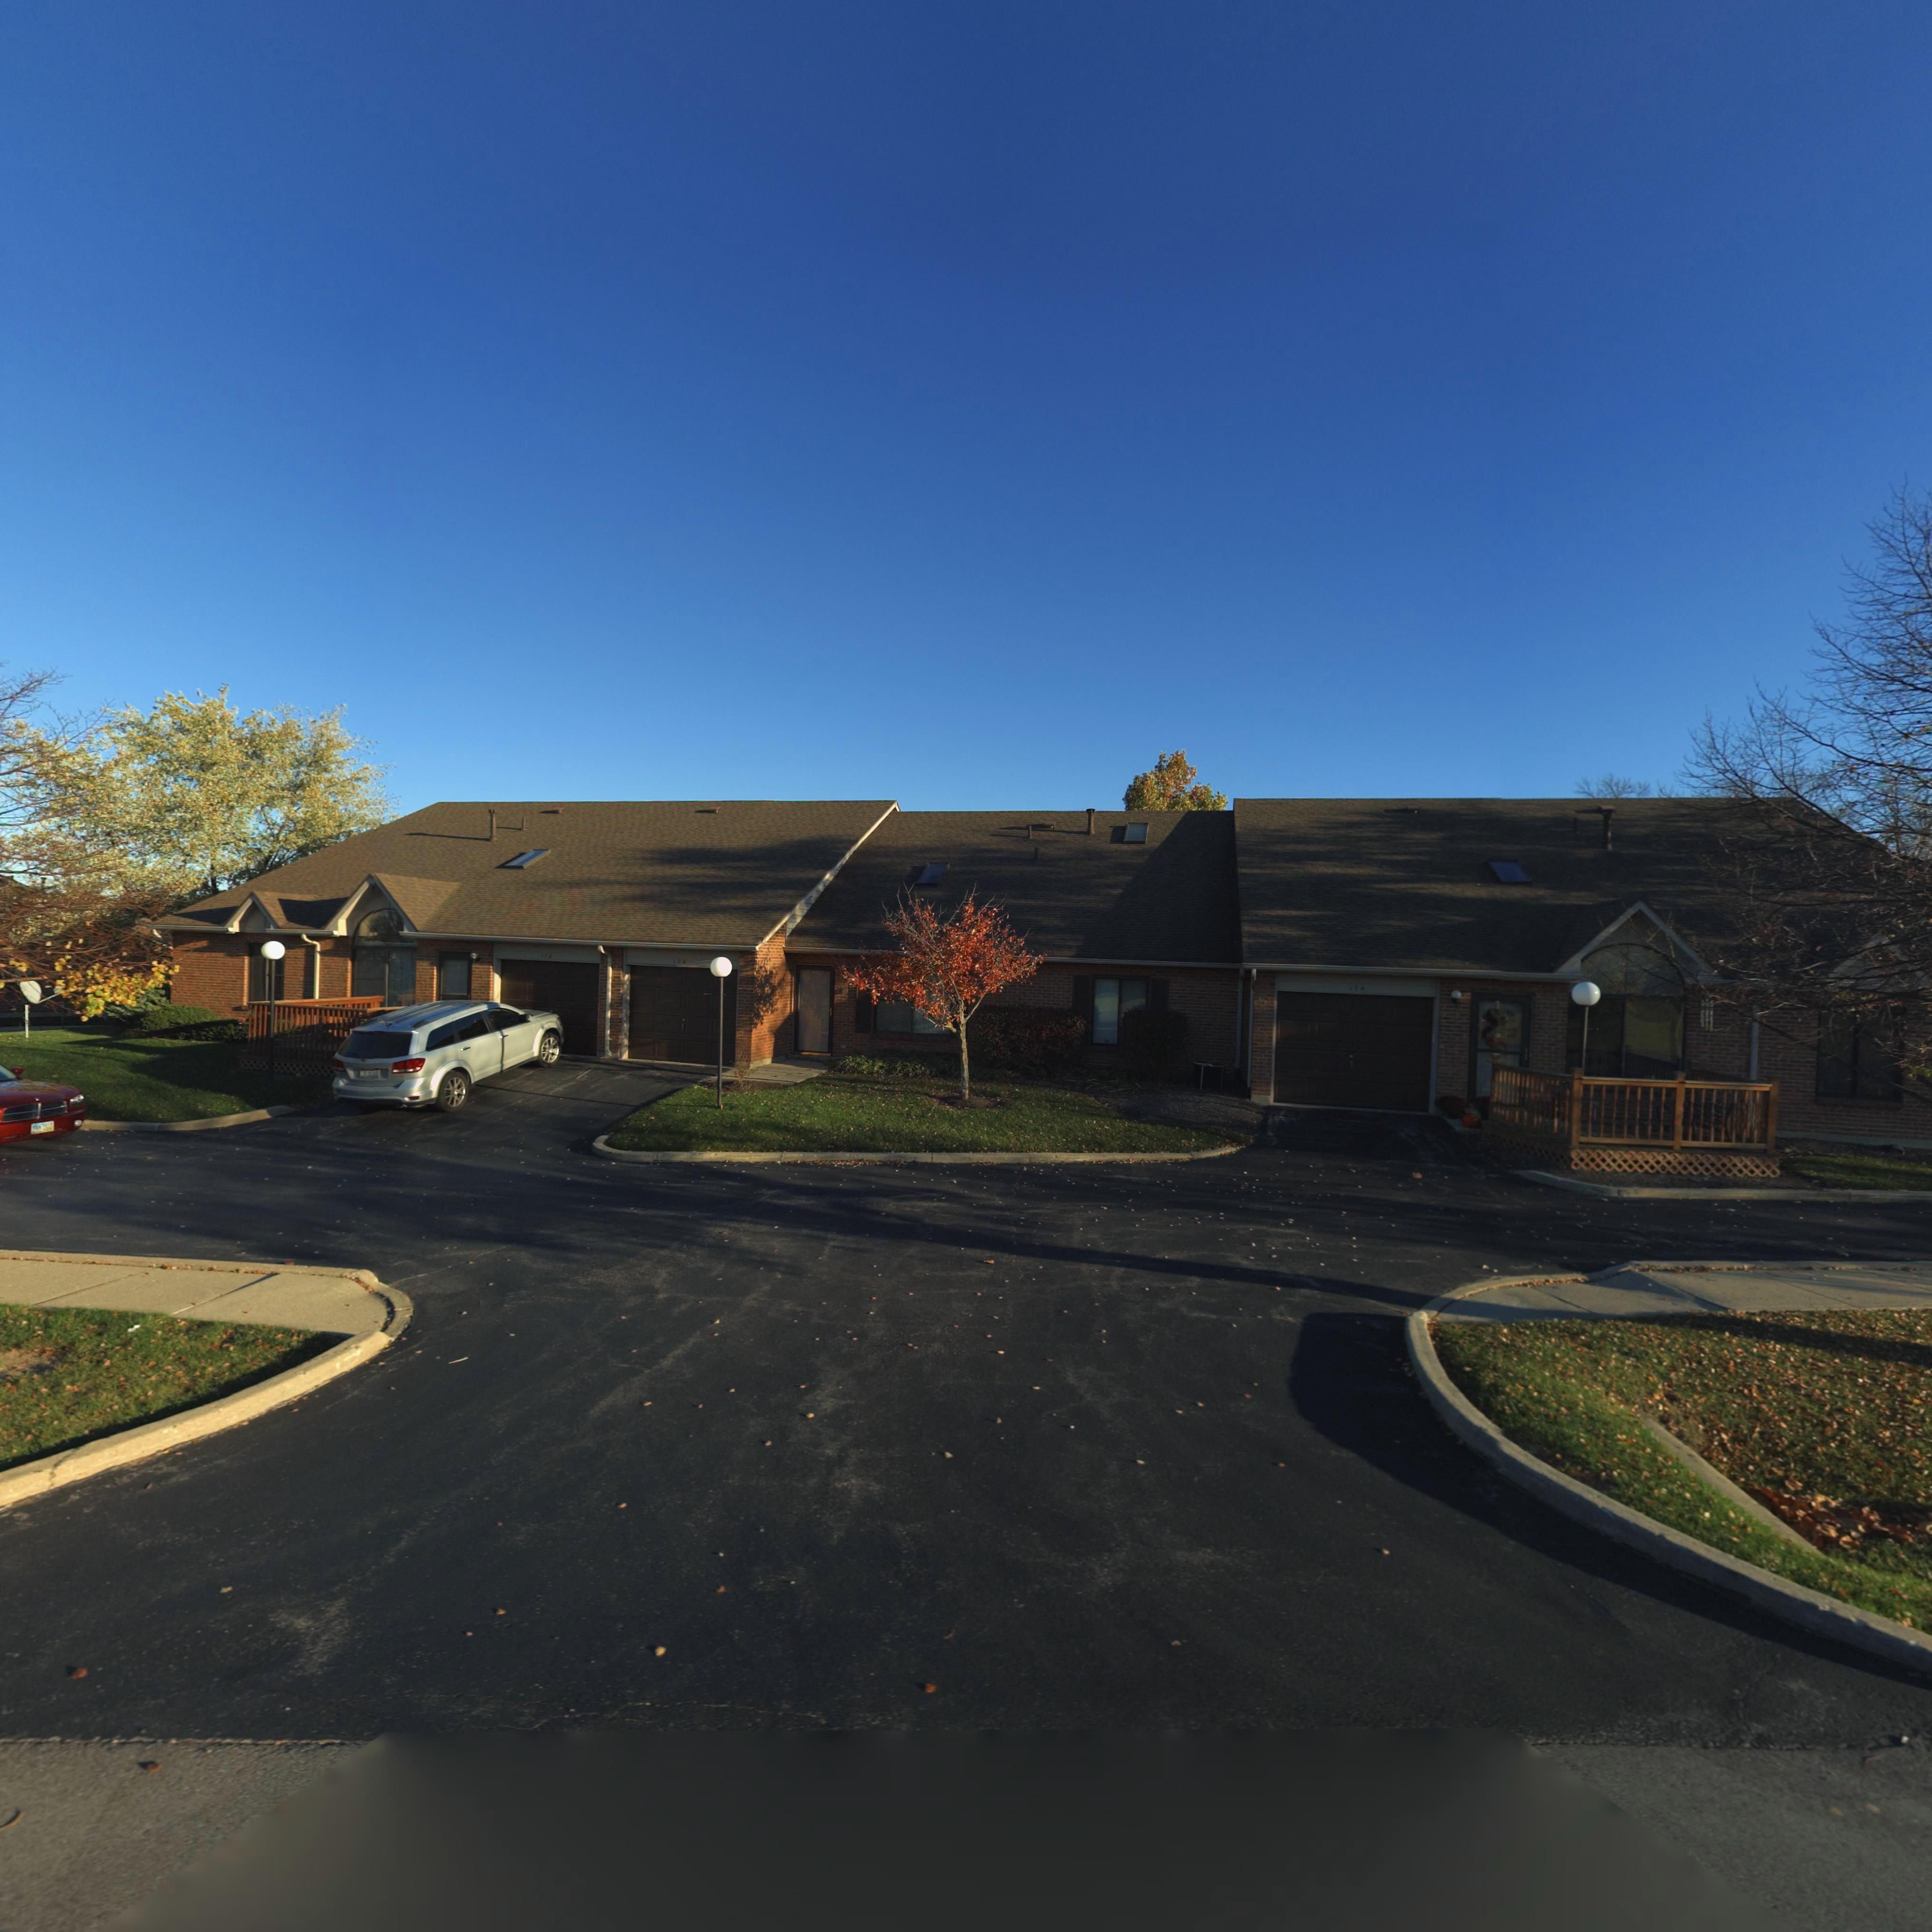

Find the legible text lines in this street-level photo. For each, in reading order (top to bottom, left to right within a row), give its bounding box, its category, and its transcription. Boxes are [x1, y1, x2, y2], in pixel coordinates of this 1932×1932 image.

[540, 953, 553, 959] StreetNumber: *7*
[671, 958, 687, 965] StreetNumber: 176